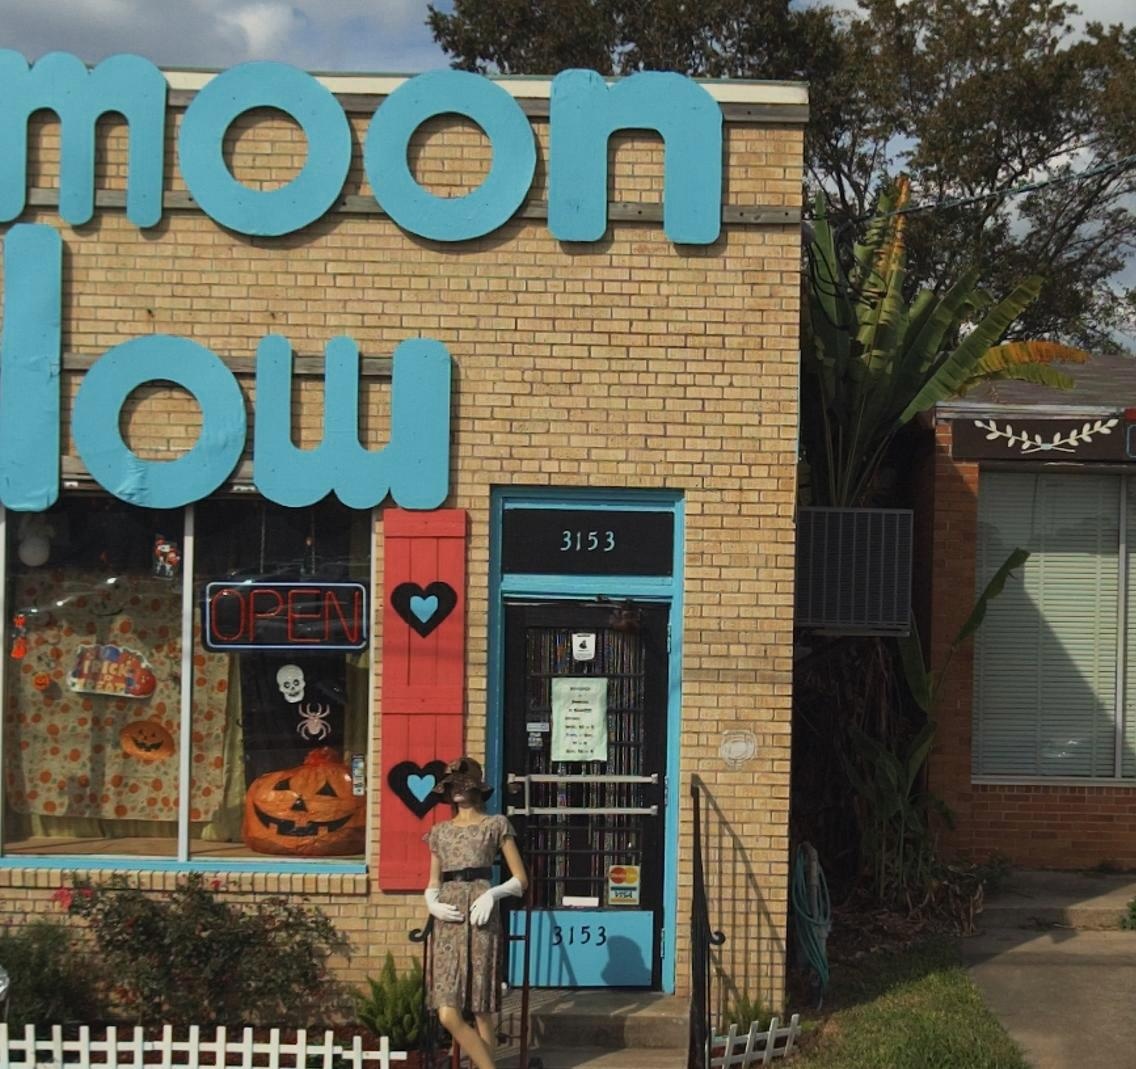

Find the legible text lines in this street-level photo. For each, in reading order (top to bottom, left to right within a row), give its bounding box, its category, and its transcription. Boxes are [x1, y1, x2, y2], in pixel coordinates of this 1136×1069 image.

[0, 48, 726, 247] BusinessName: oon
[69, 331, 455, 514] BusinessName: ow
[556, 525, 617, 558] StreetNumber: 3153
[208, 587, 363, 646] None: OPEN
[76, 658, 132, 677] None: TRICK
[71, 676, 128, 695] None: *REAT
[613, 888, 634, 900] None: VISA
[549, 921, 611, 949] StreetNumber: 3153